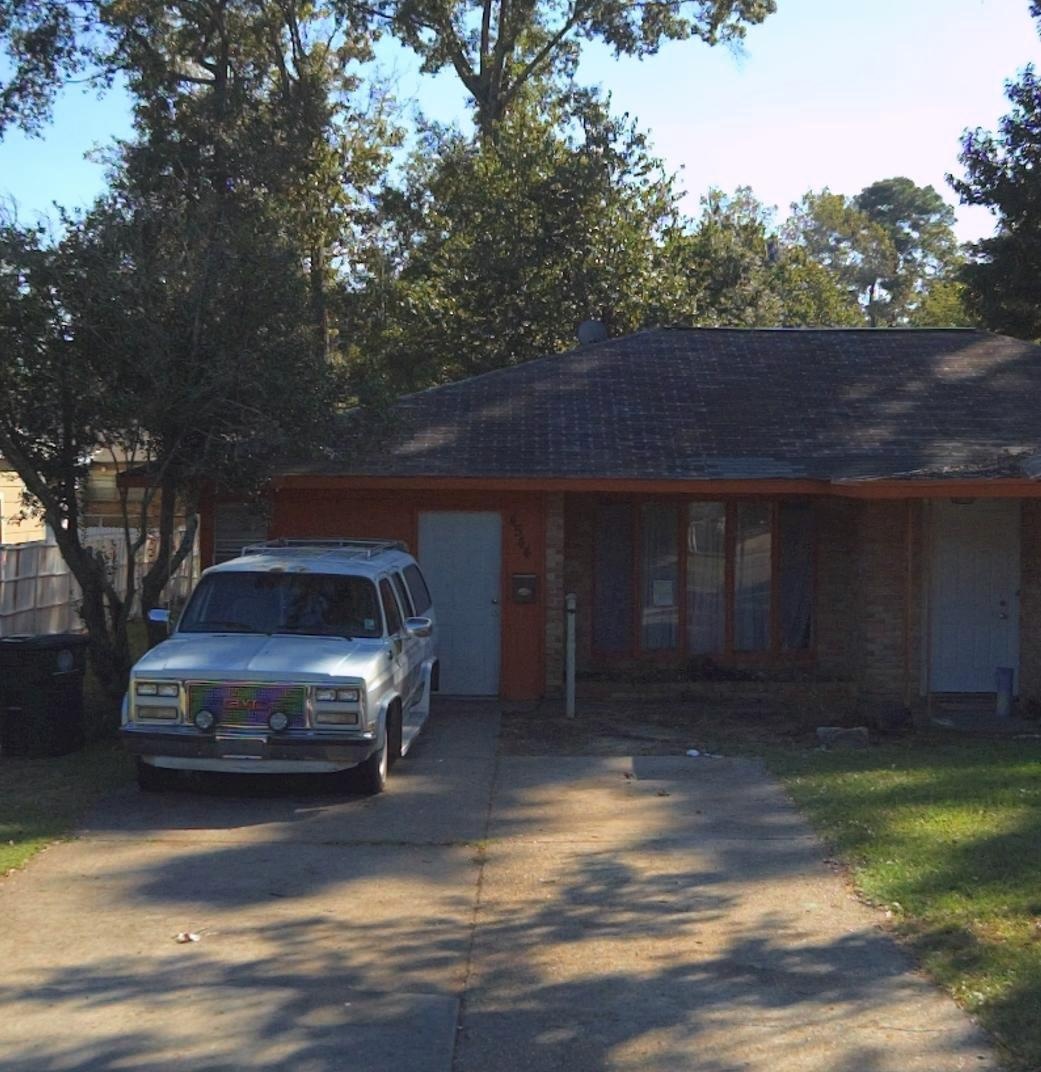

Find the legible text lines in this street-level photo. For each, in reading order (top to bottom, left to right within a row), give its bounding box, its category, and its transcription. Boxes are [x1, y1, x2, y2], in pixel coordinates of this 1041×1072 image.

[509, 513, 532, 559] StreetNumber: 4544